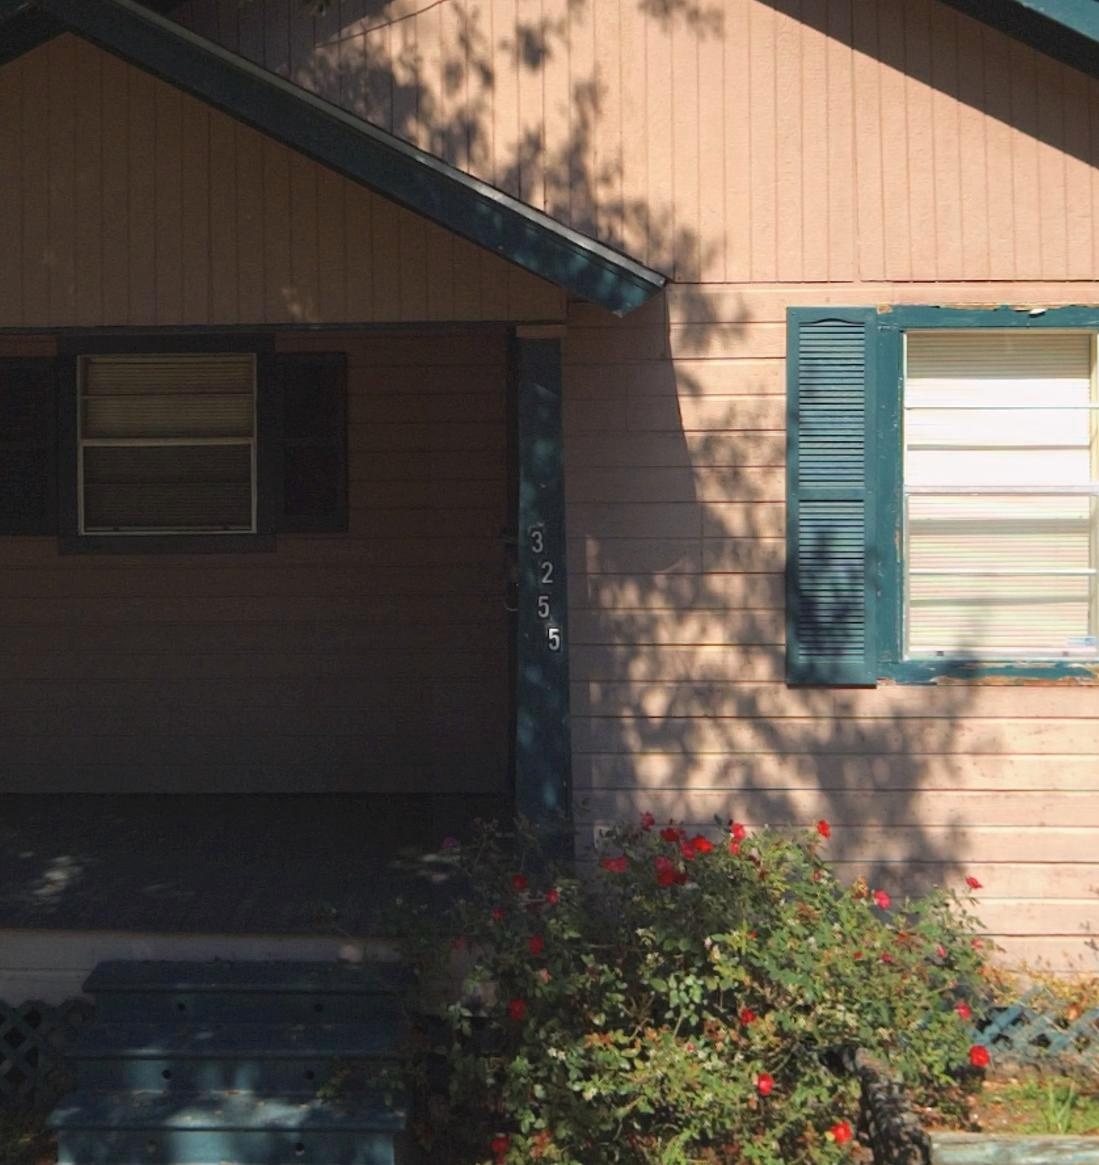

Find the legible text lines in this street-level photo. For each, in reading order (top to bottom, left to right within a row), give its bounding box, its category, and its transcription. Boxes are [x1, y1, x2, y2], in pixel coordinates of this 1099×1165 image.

[528, 529, 563, 653] StreetNumber: 3255